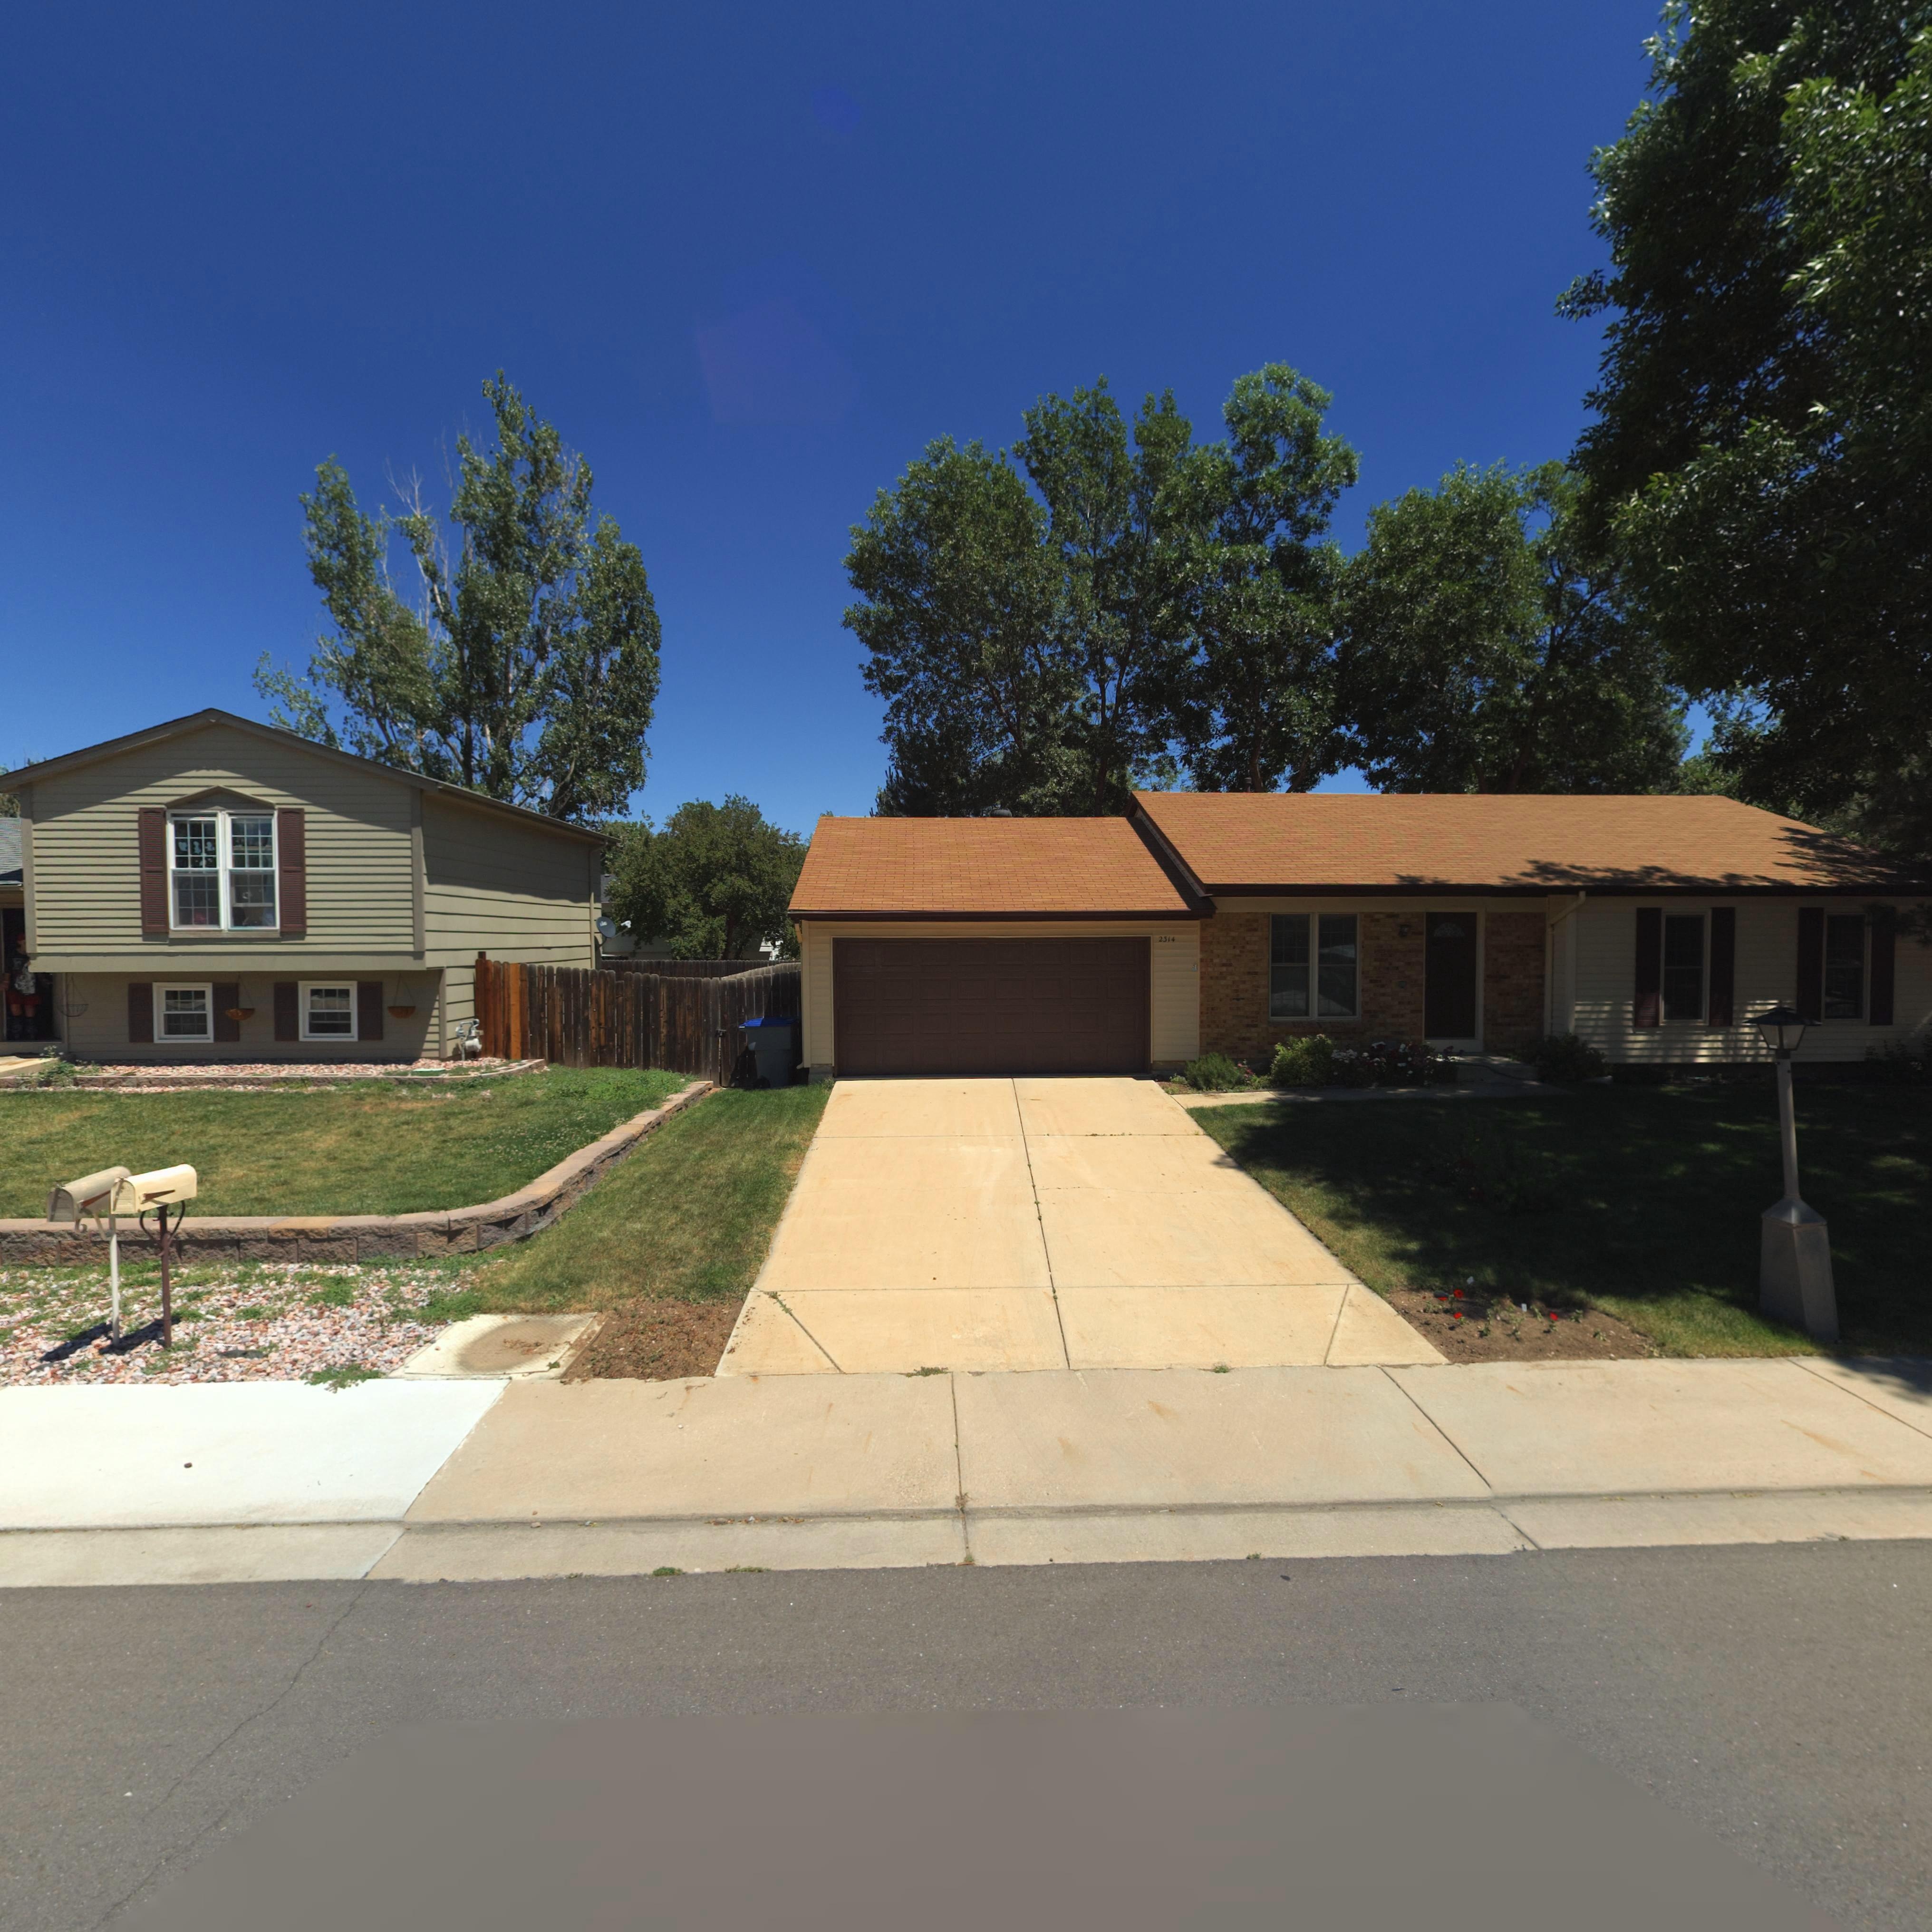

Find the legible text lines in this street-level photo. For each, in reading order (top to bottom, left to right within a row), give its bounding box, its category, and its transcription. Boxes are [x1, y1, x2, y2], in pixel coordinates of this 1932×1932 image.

[1158, 936, 1175, 943] StreetNumber: 2314